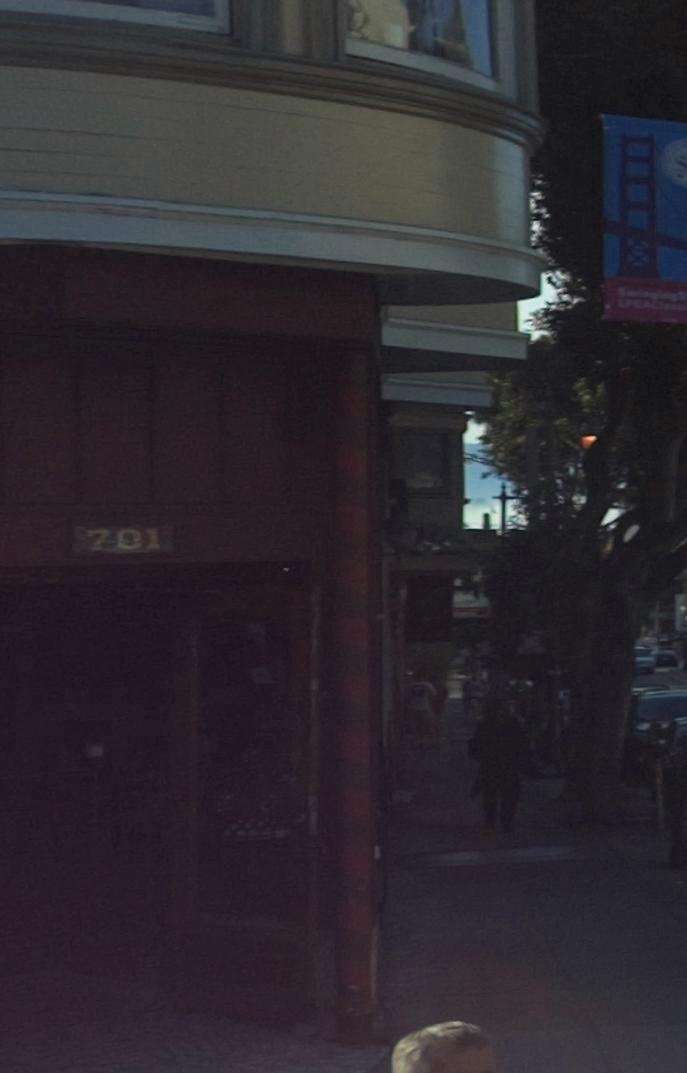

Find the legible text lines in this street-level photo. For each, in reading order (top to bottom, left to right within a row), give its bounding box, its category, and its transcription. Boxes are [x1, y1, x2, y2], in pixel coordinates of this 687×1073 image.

[82, 522, 164, 556] StreetNumber: 701